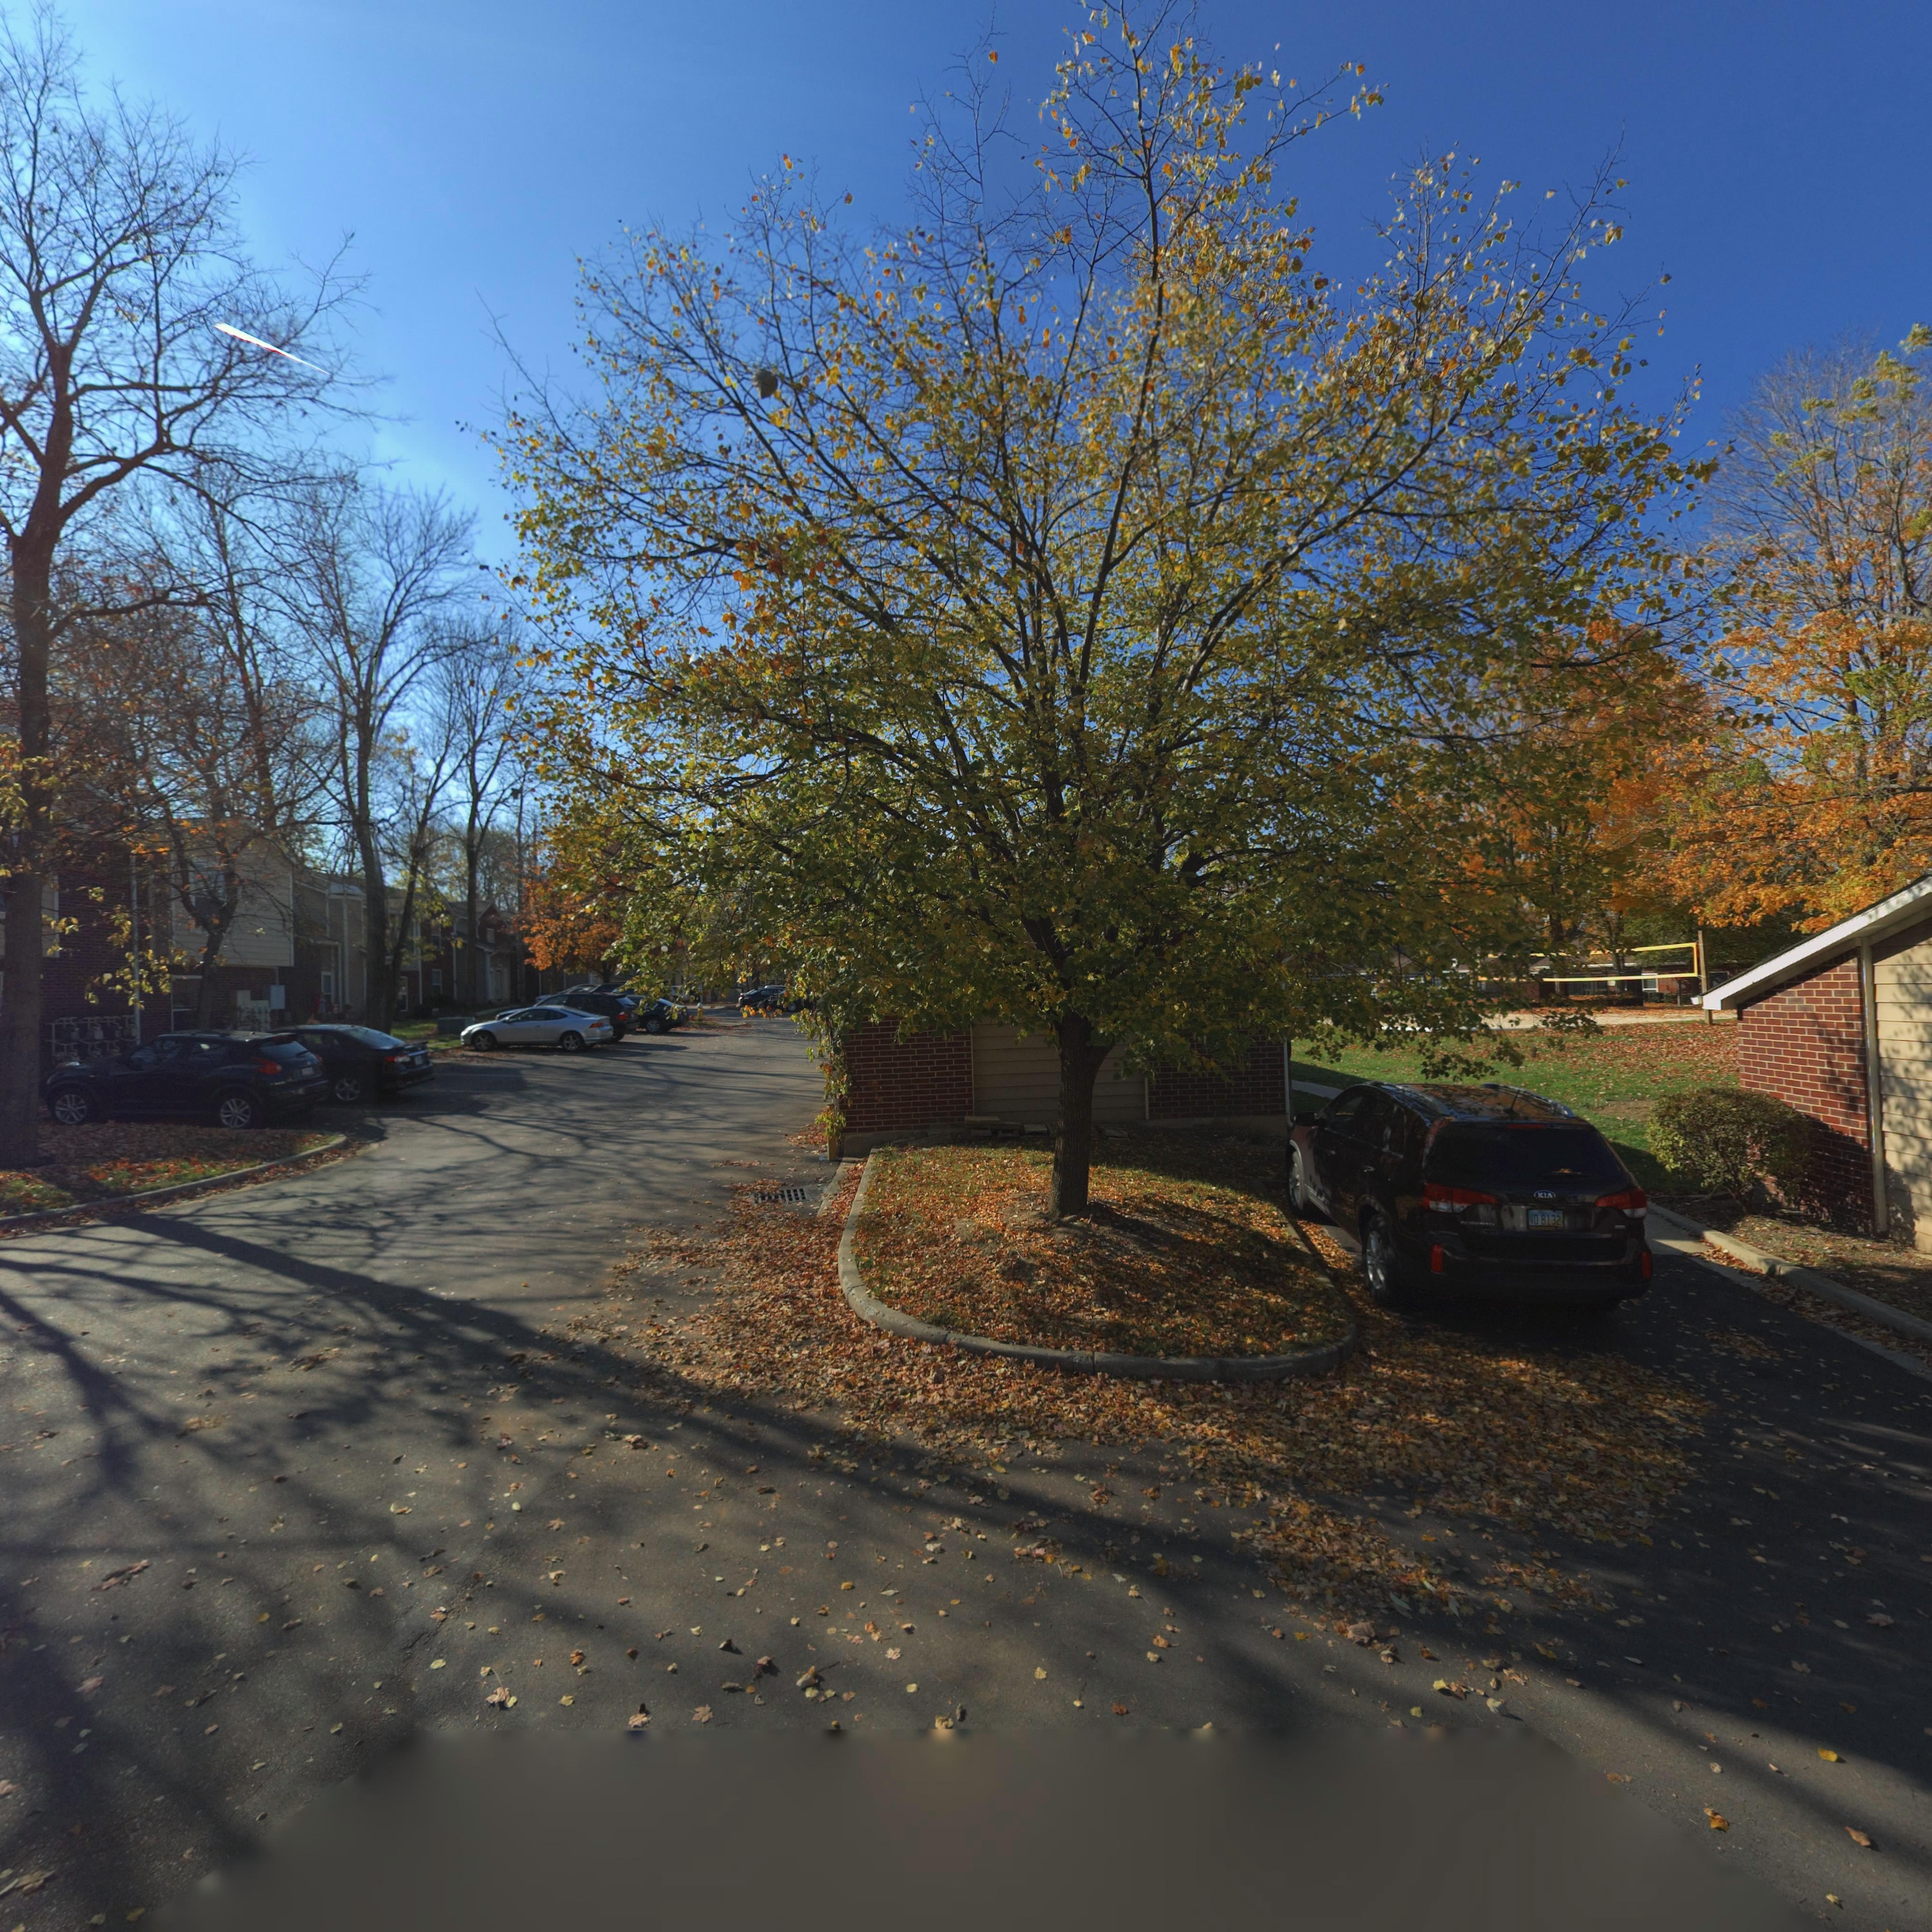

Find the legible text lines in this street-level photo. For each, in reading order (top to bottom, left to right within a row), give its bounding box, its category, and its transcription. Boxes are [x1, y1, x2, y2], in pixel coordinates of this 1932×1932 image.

[1537, 1191, 1553, 1199] None: KIA
[1533, 1213, 1563, 1226] None: D 8132